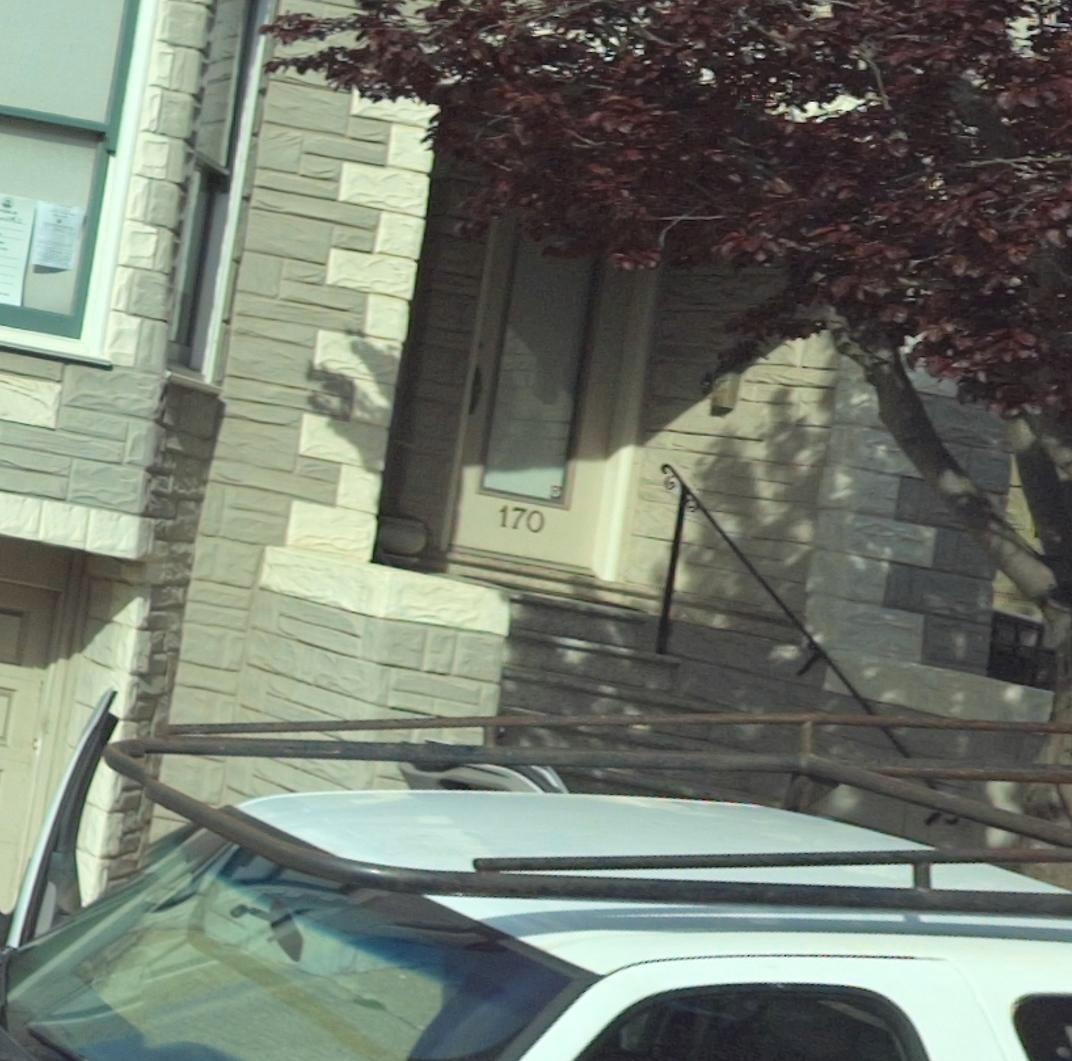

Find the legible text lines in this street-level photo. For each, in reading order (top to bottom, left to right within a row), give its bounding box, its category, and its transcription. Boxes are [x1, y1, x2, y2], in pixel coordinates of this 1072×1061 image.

[496, 503, 548, 534] StreetNumber: 170